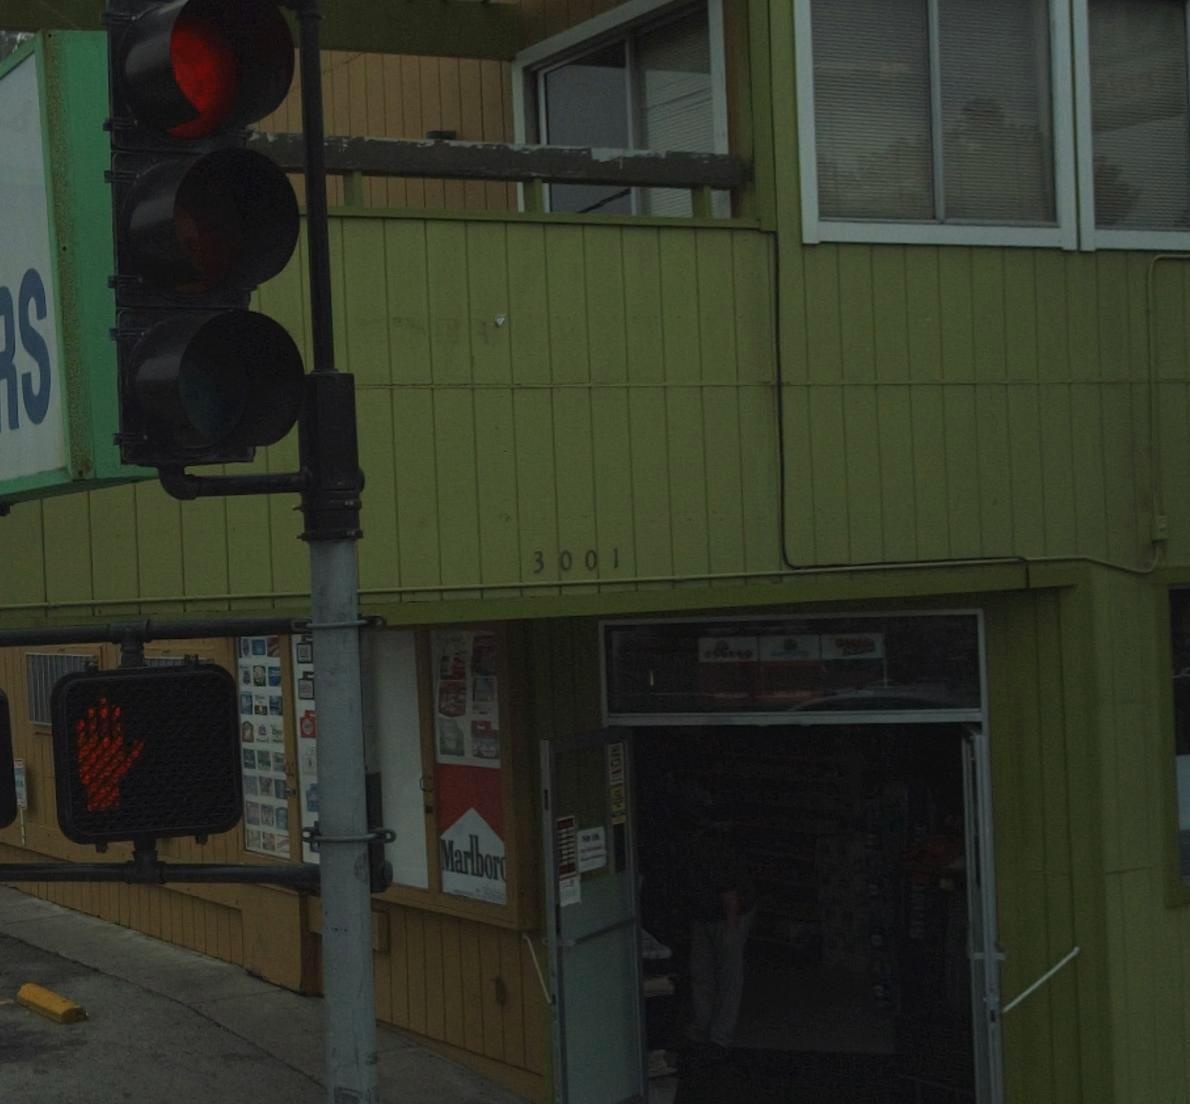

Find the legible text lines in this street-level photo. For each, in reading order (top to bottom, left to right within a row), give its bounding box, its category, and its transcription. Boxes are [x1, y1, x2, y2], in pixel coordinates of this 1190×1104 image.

[0, 263, 55, 432] BusinessName: *S
[529, 545, 624, 575] StreetNumber: 3001
[437, 832, 509, 885] None: Marlbor*